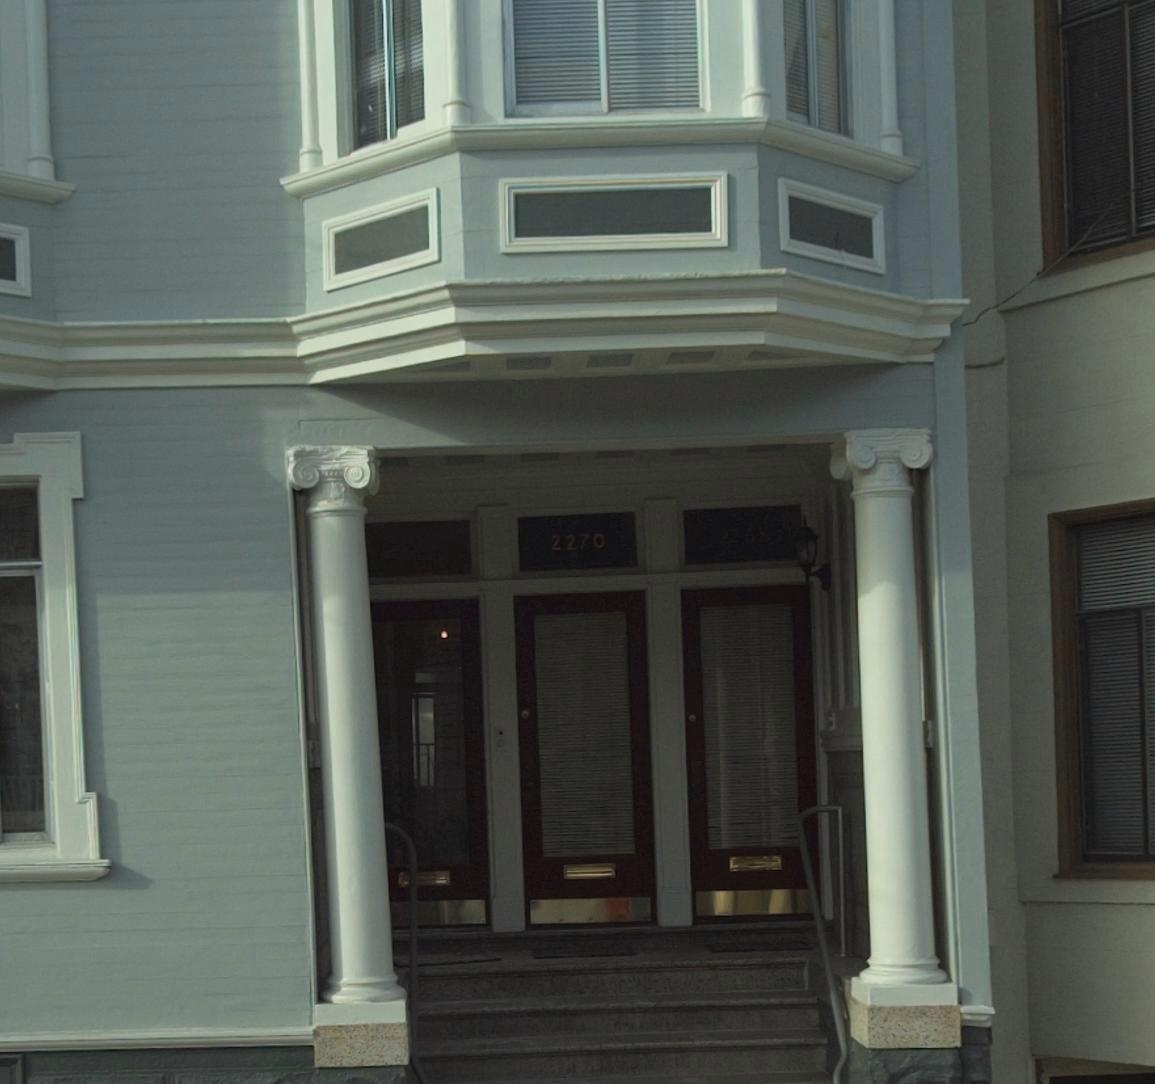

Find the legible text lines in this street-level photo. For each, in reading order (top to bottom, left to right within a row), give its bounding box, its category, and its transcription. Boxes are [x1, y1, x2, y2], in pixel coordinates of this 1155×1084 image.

[548, 530, 608, 553] StreetNumber: 2270